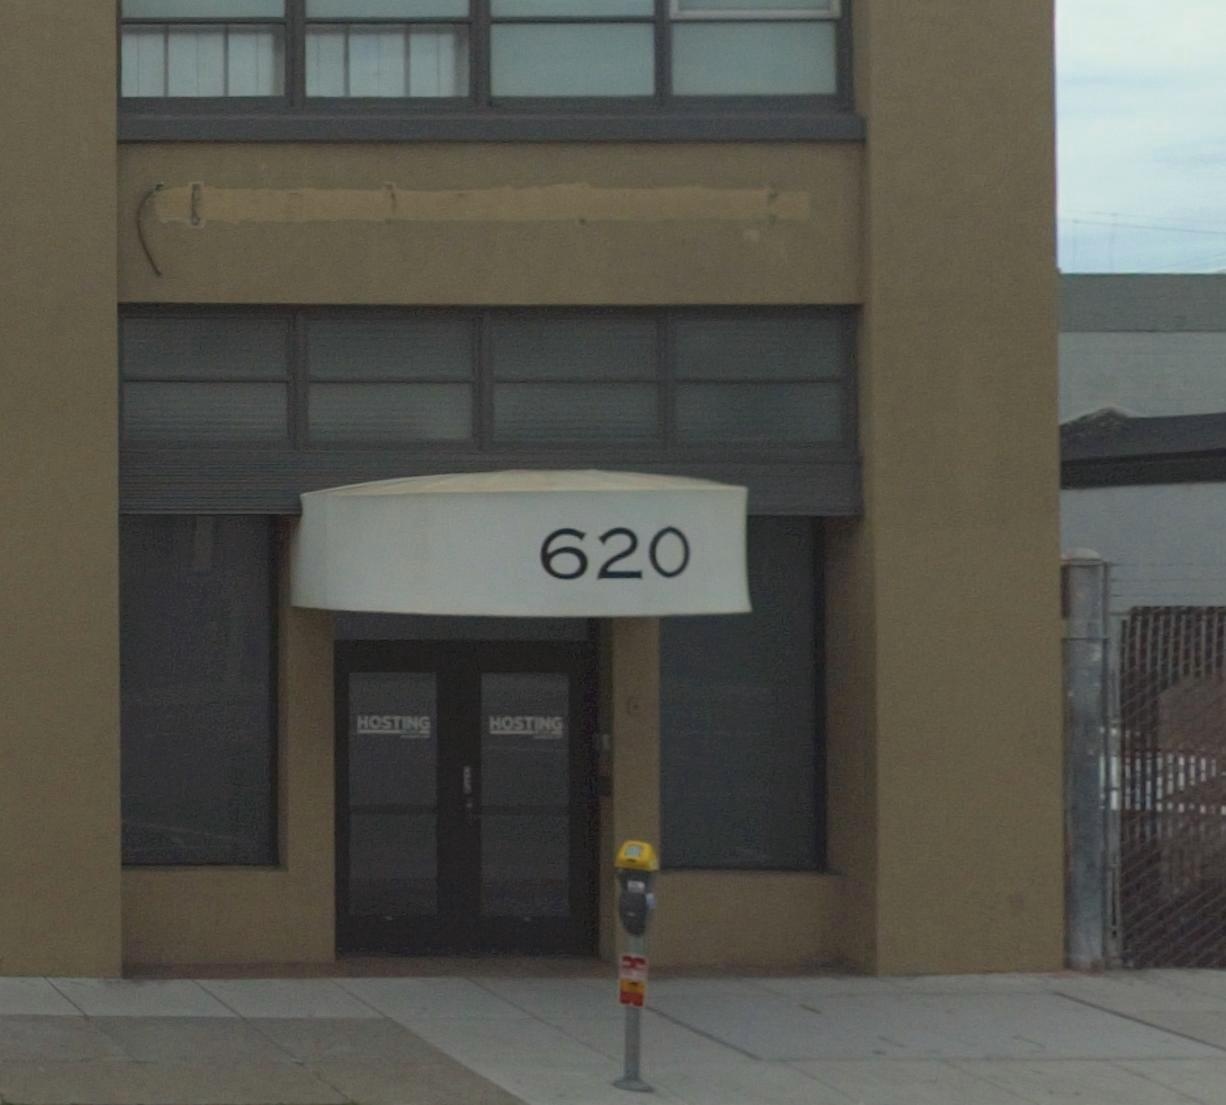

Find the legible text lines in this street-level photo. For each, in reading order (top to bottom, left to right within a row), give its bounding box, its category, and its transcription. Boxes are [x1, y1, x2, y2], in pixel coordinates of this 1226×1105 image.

[538, 524, 693, 582] StreetNumber: 620
[355, 714, 432, 731] BusinessName: HOSTING
[487, 714, 565, 732] BusinessName: HOSTING